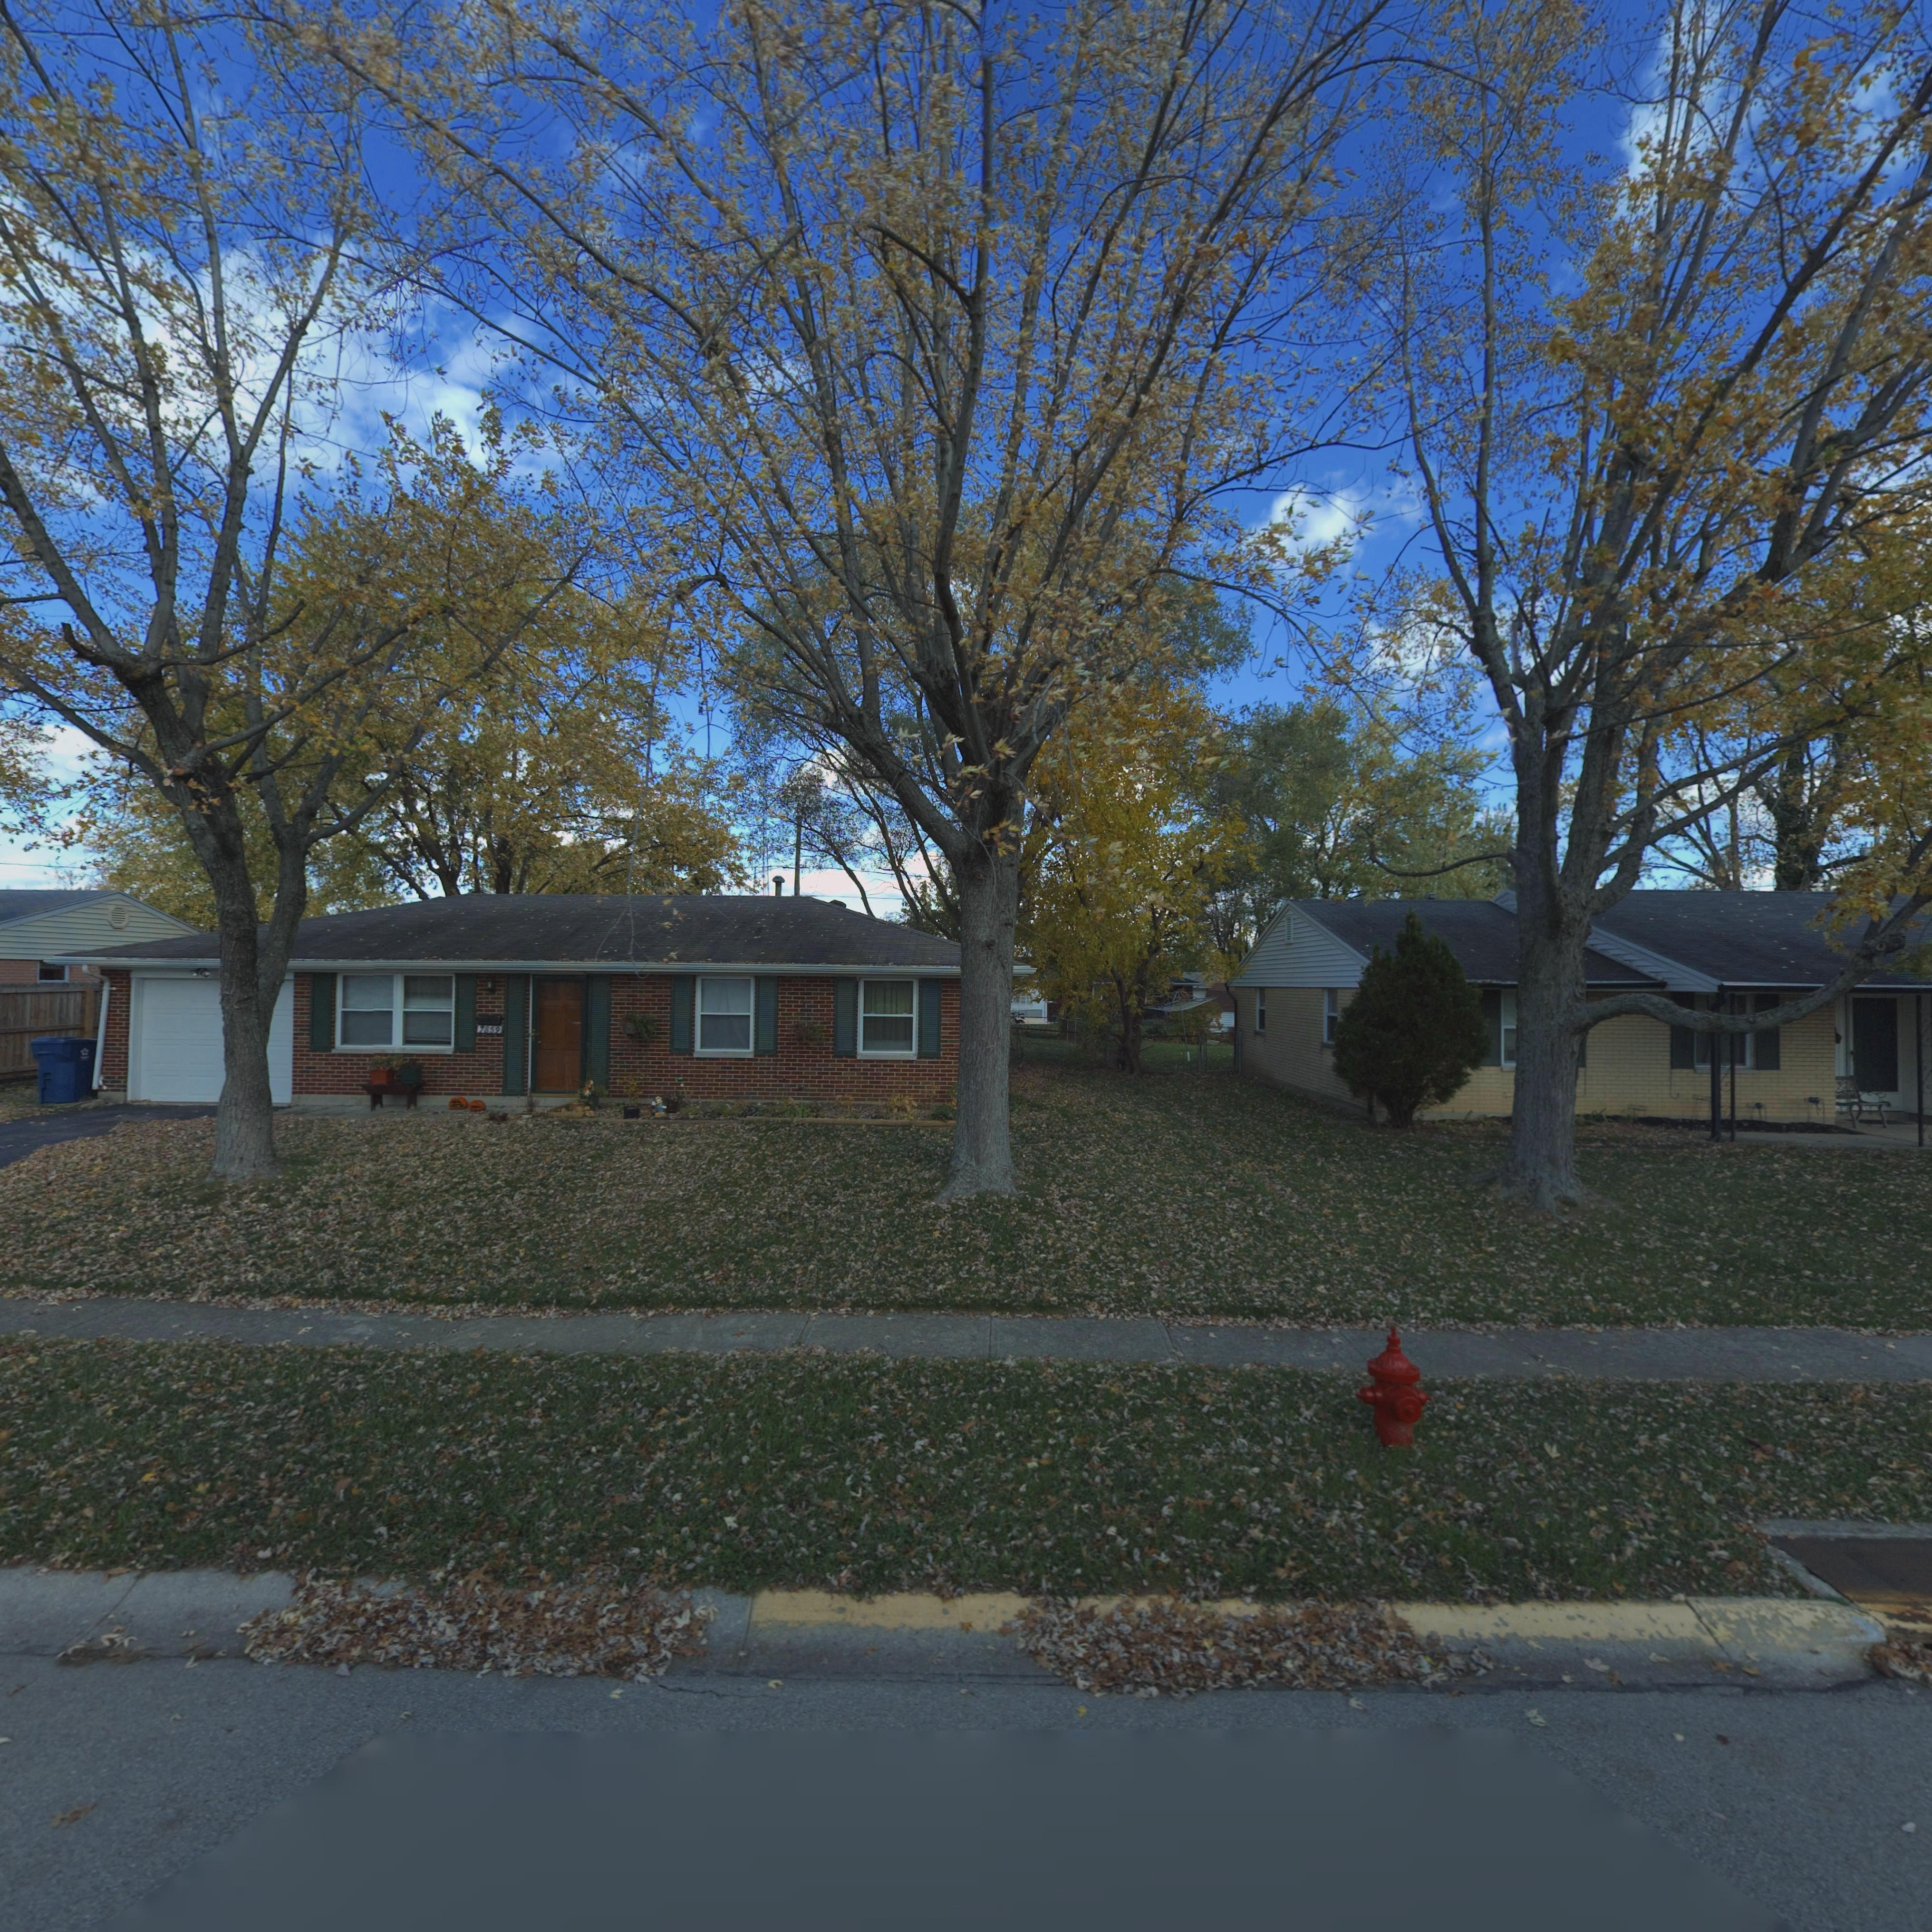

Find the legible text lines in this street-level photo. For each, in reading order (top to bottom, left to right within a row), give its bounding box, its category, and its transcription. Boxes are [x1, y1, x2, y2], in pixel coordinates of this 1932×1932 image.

[478, 1025, 501, 1034] StreetNumber: 7859